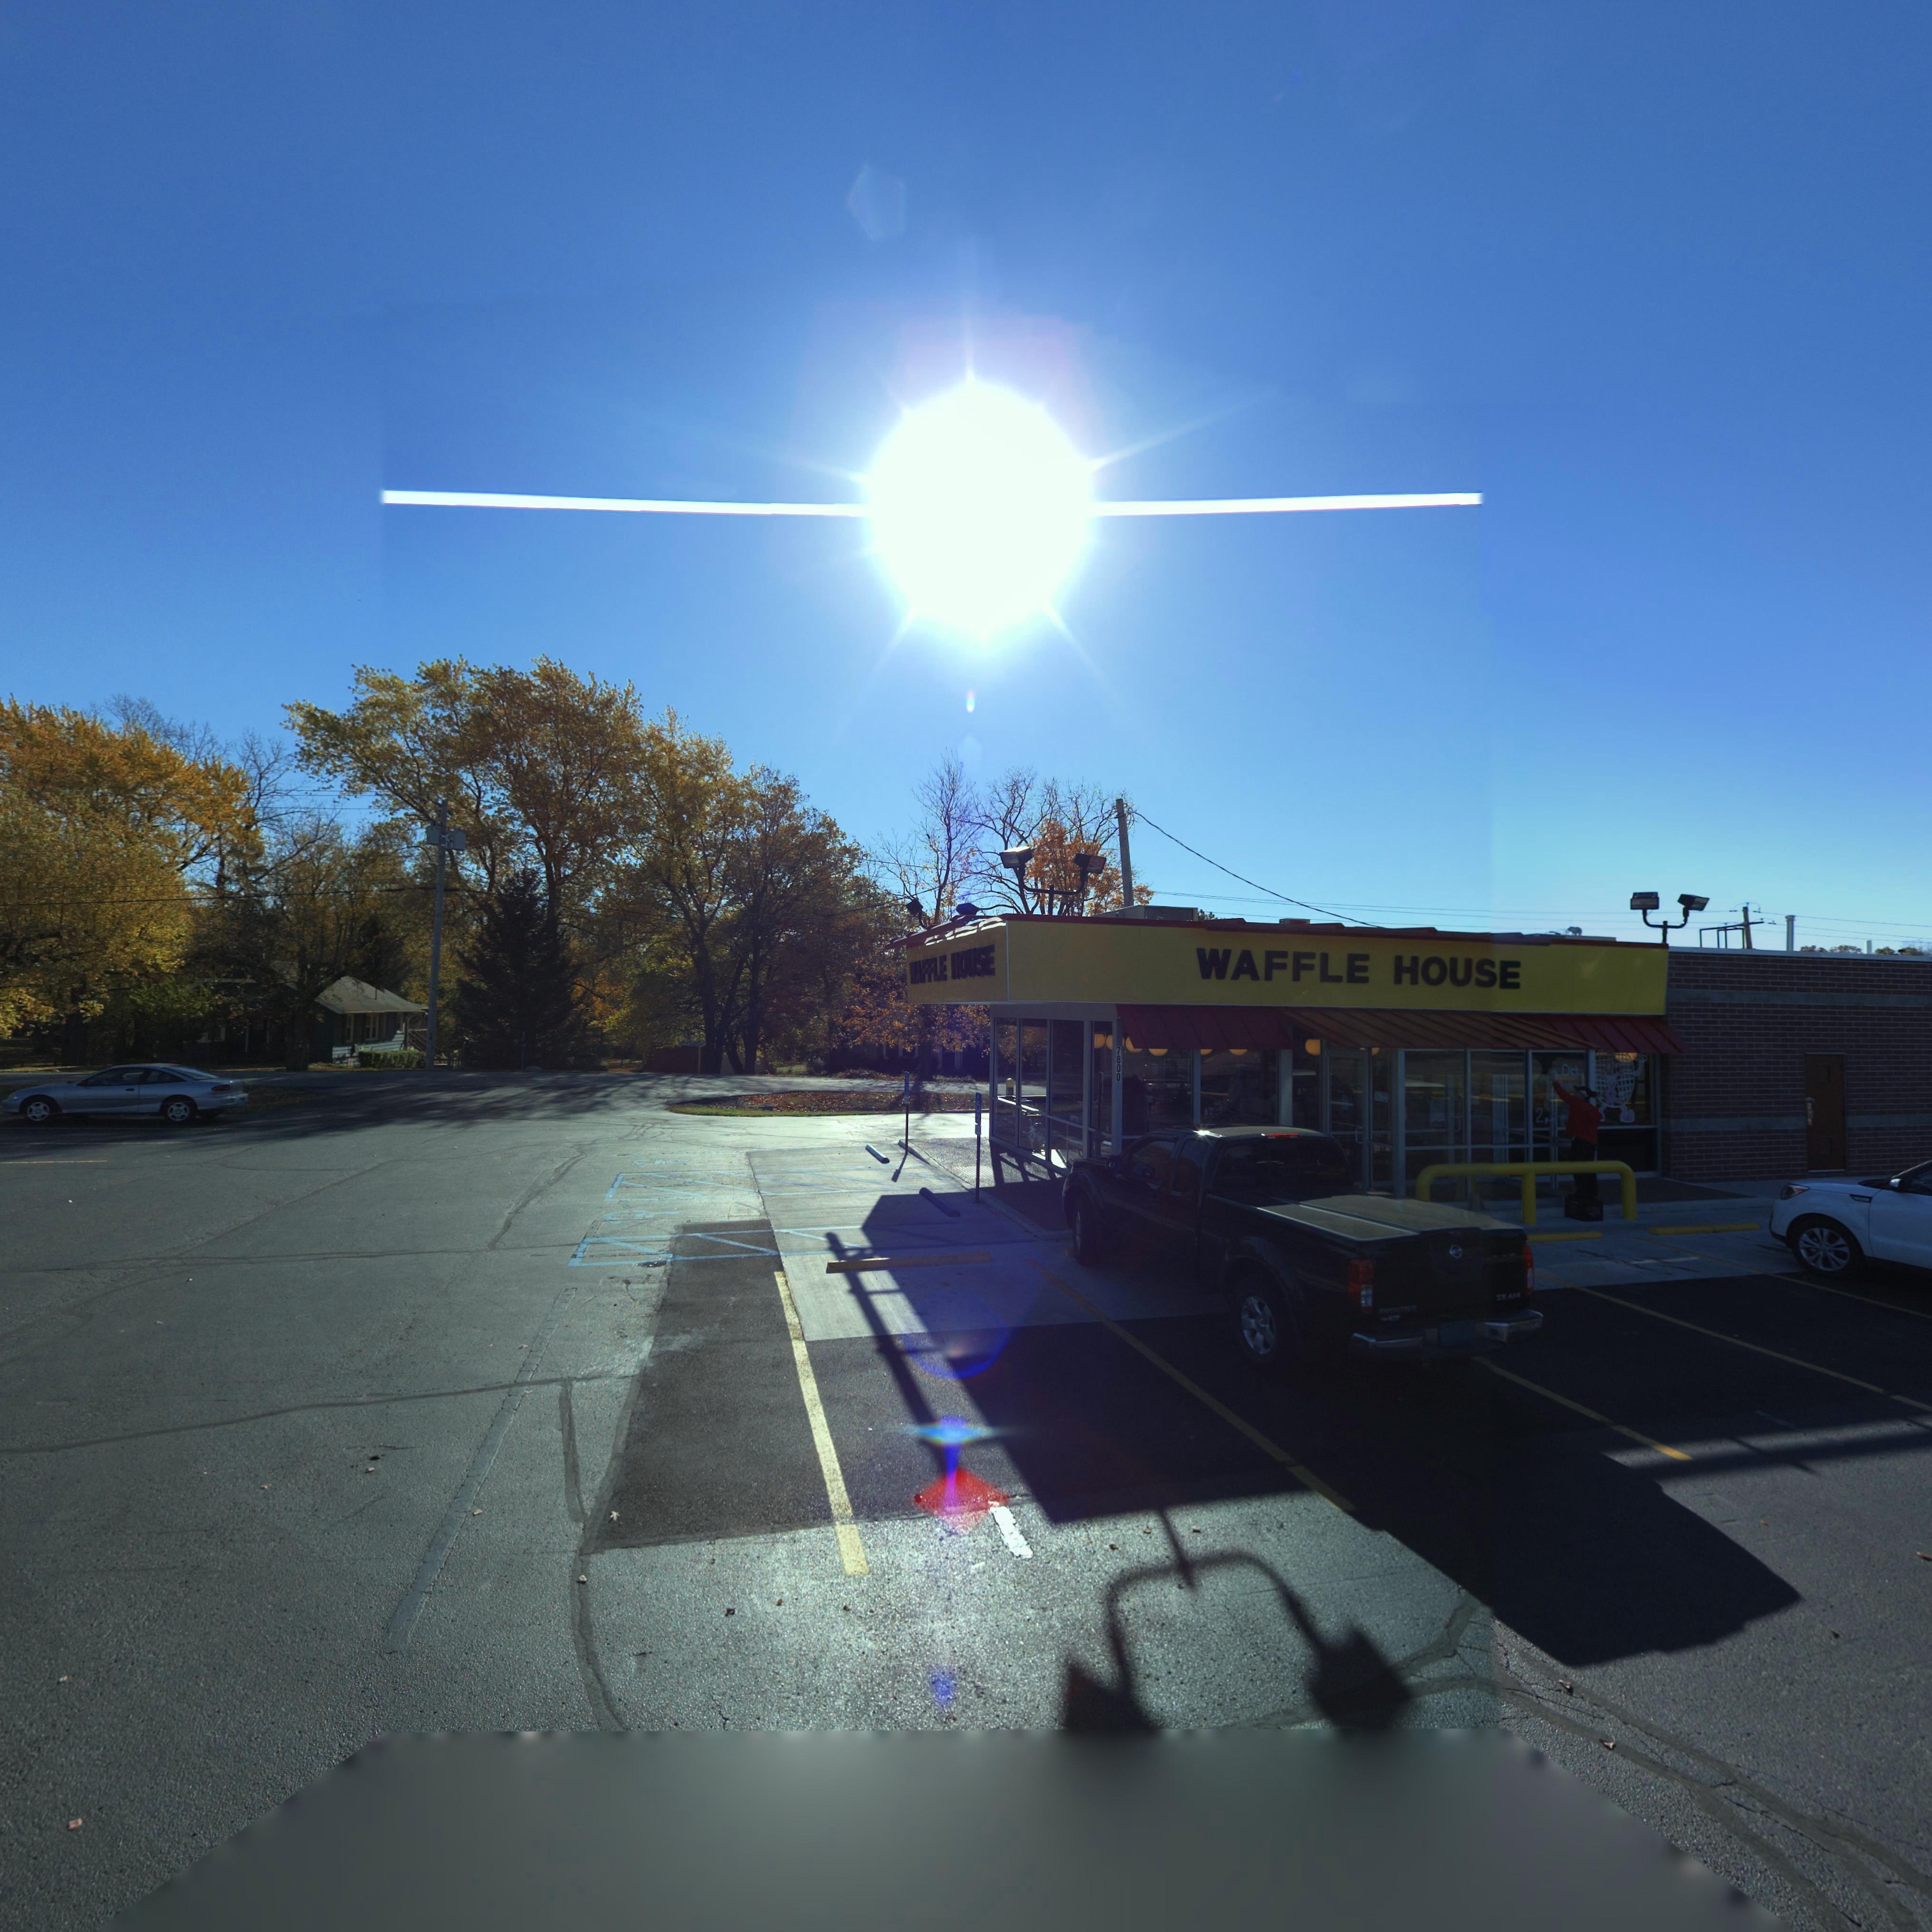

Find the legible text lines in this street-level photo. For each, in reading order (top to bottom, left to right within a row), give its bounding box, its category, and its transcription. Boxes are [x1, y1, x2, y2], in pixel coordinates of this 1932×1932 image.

[1115, 1046, 1121, 1082] StreetNumber: 7800